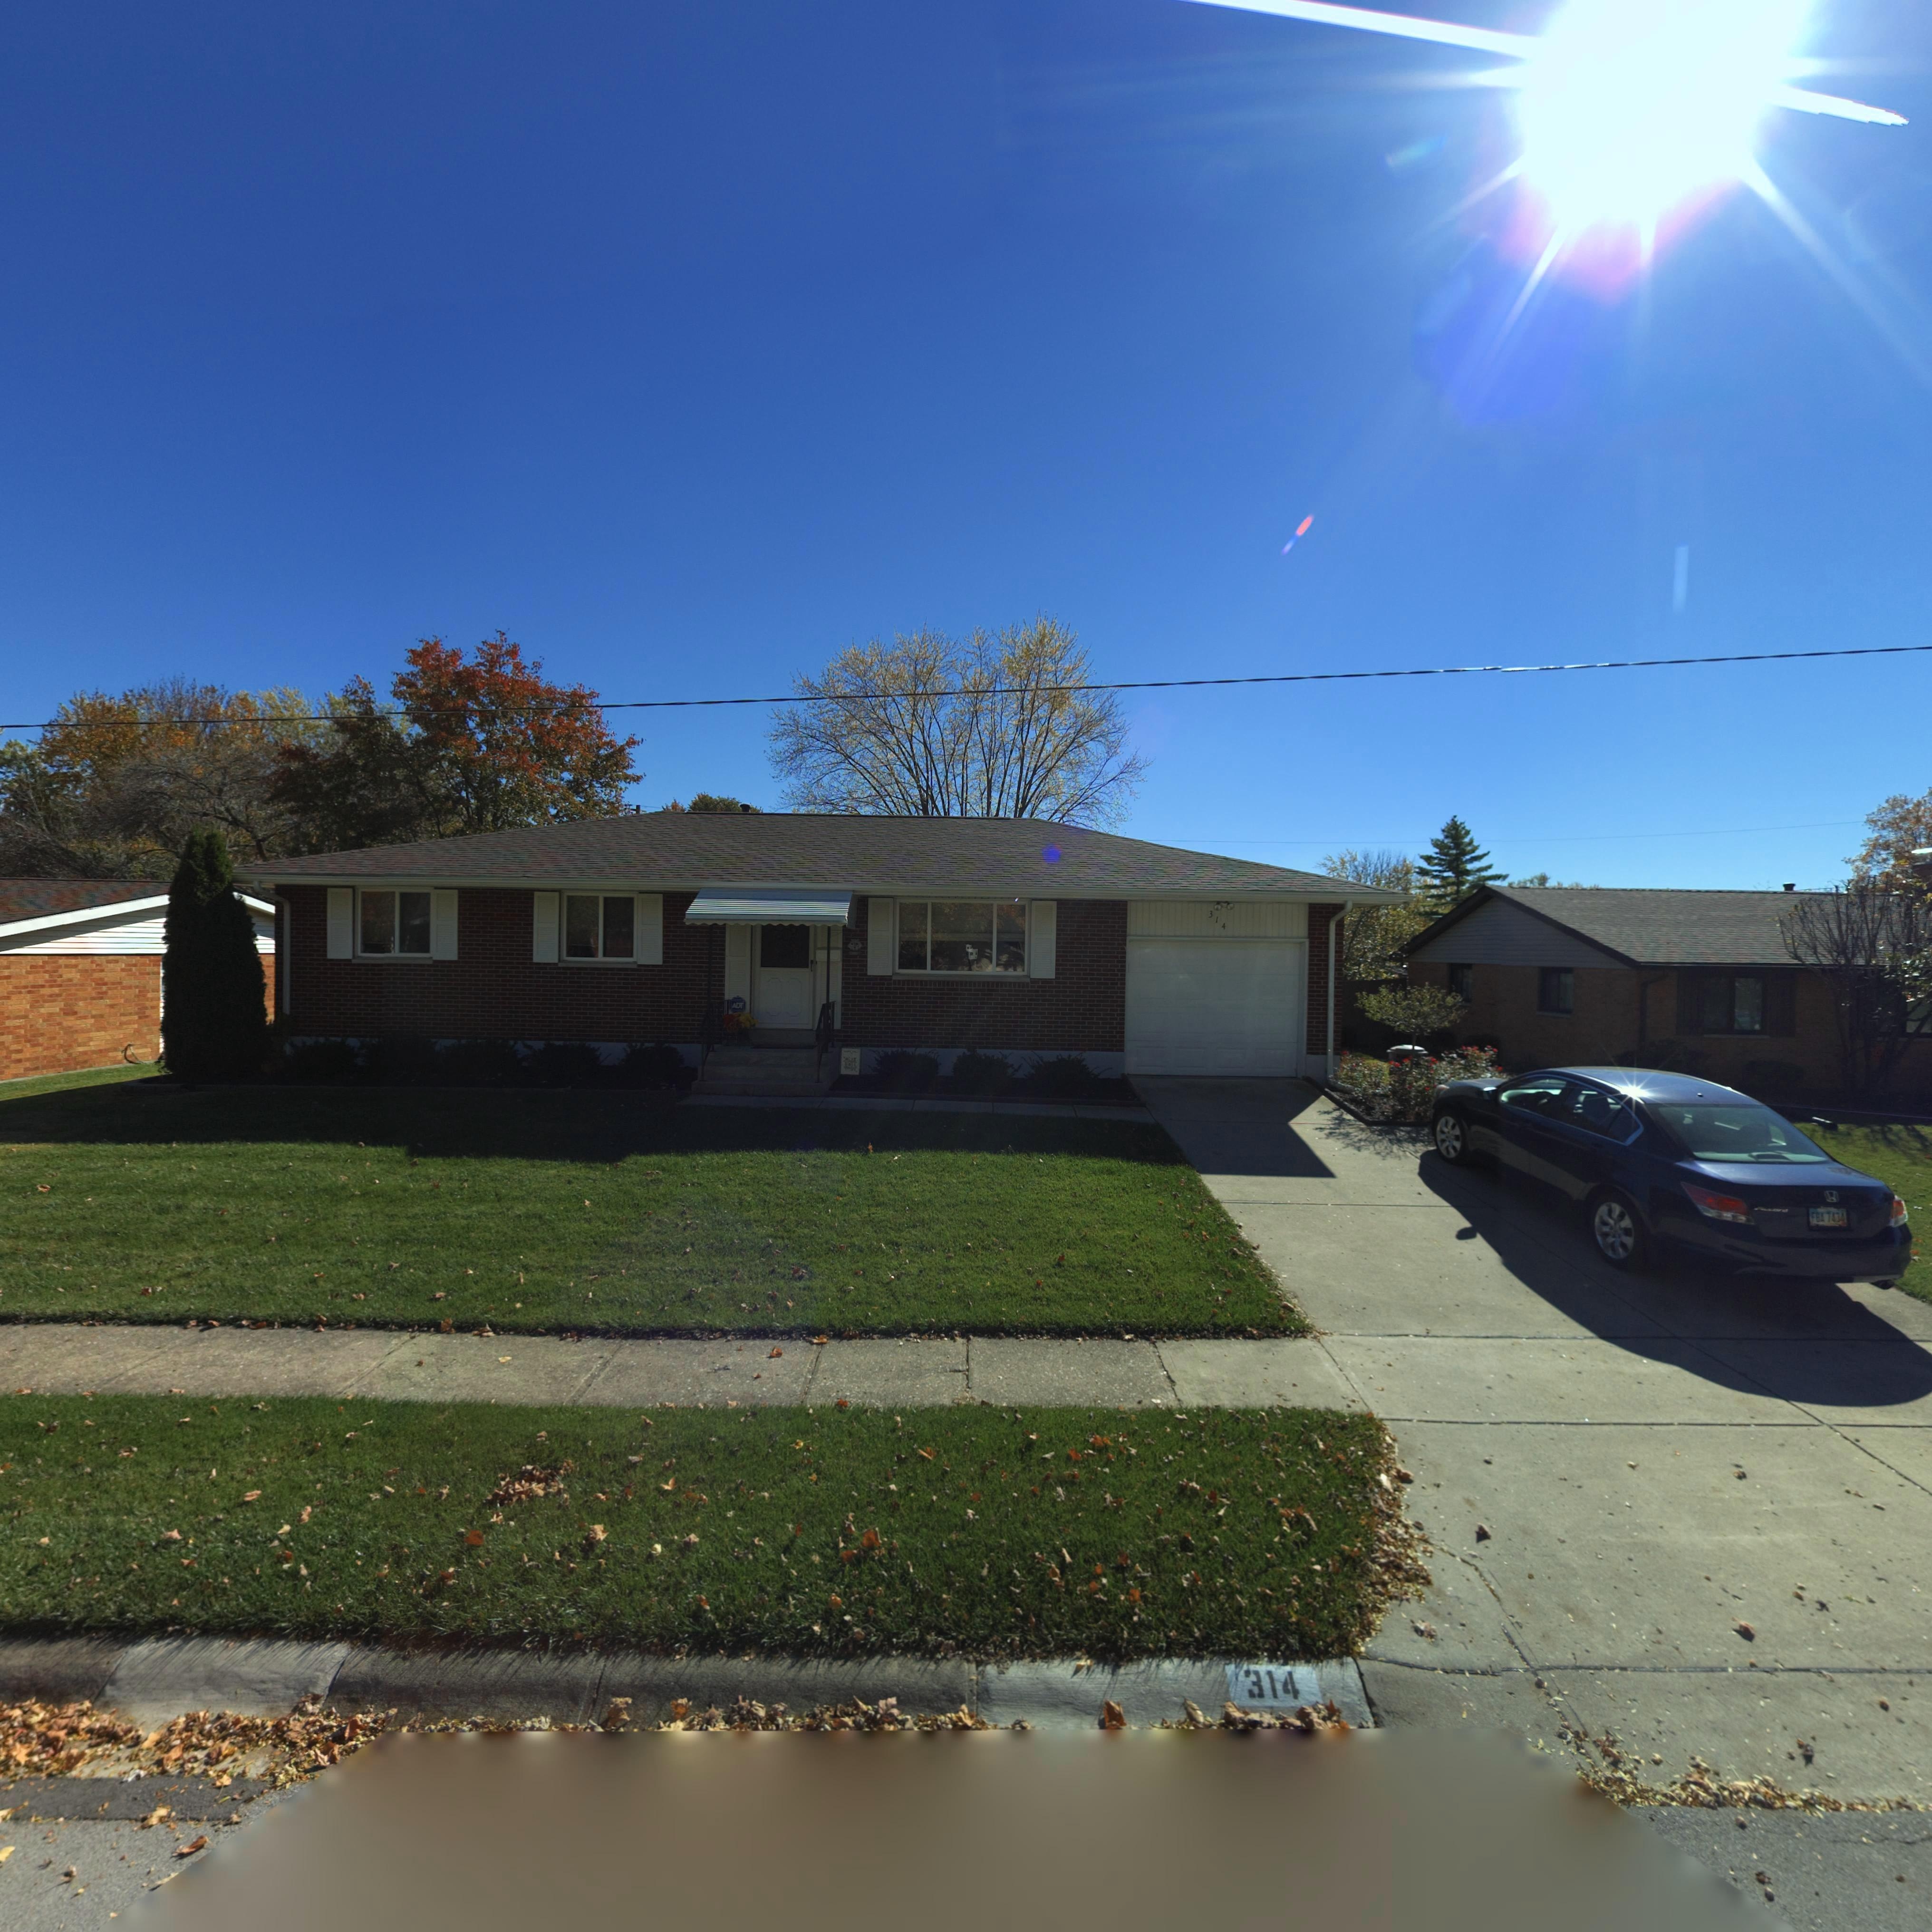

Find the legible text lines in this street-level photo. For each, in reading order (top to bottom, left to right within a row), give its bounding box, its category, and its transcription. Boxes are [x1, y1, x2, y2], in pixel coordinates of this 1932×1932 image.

[1207, 909, 1227, 931] StreetNumber: 314
[1810, 1211, 1846, 1224] None: FBA*7434
[1242, 1667, 1302, 1702] StreetNumber: 314